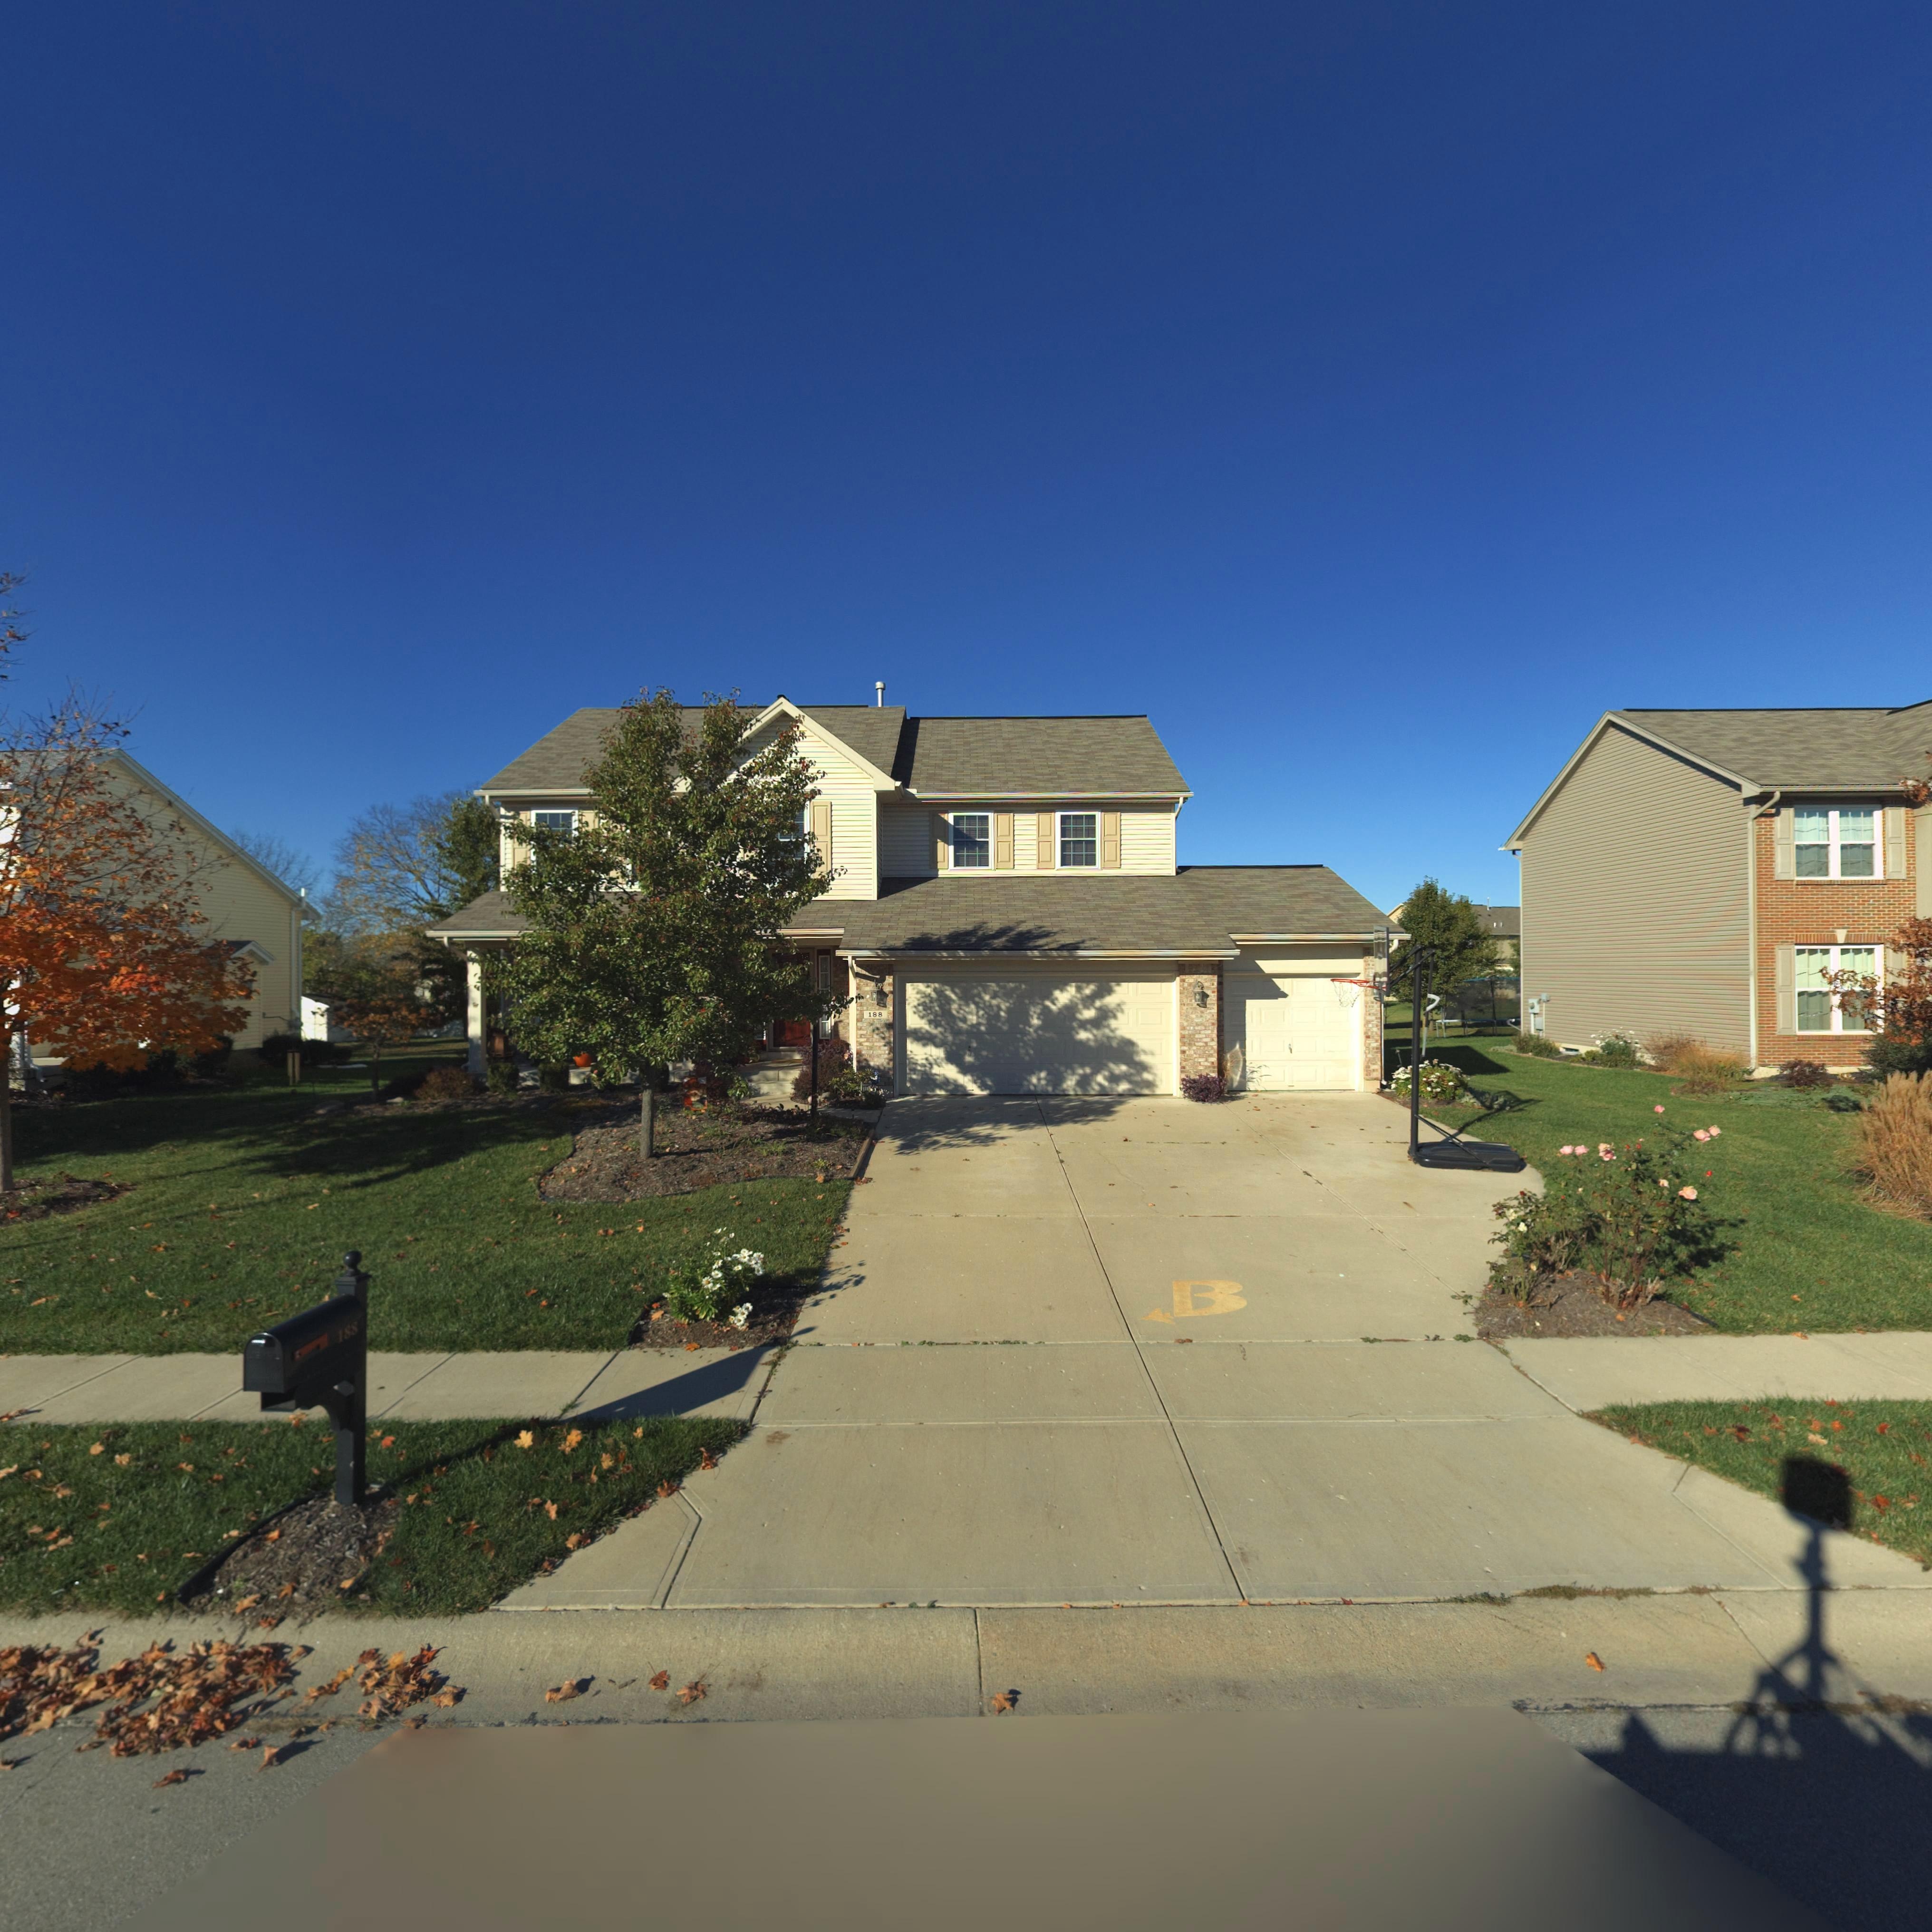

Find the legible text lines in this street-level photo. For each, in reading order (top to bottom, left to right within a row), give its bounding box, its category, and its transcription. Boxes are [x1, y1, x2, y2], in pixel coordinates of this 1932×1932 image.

[867, 1011, 883, 1019] StreetNumber: 188
[337, 1319, 359, 1344] StreetNumber: 188